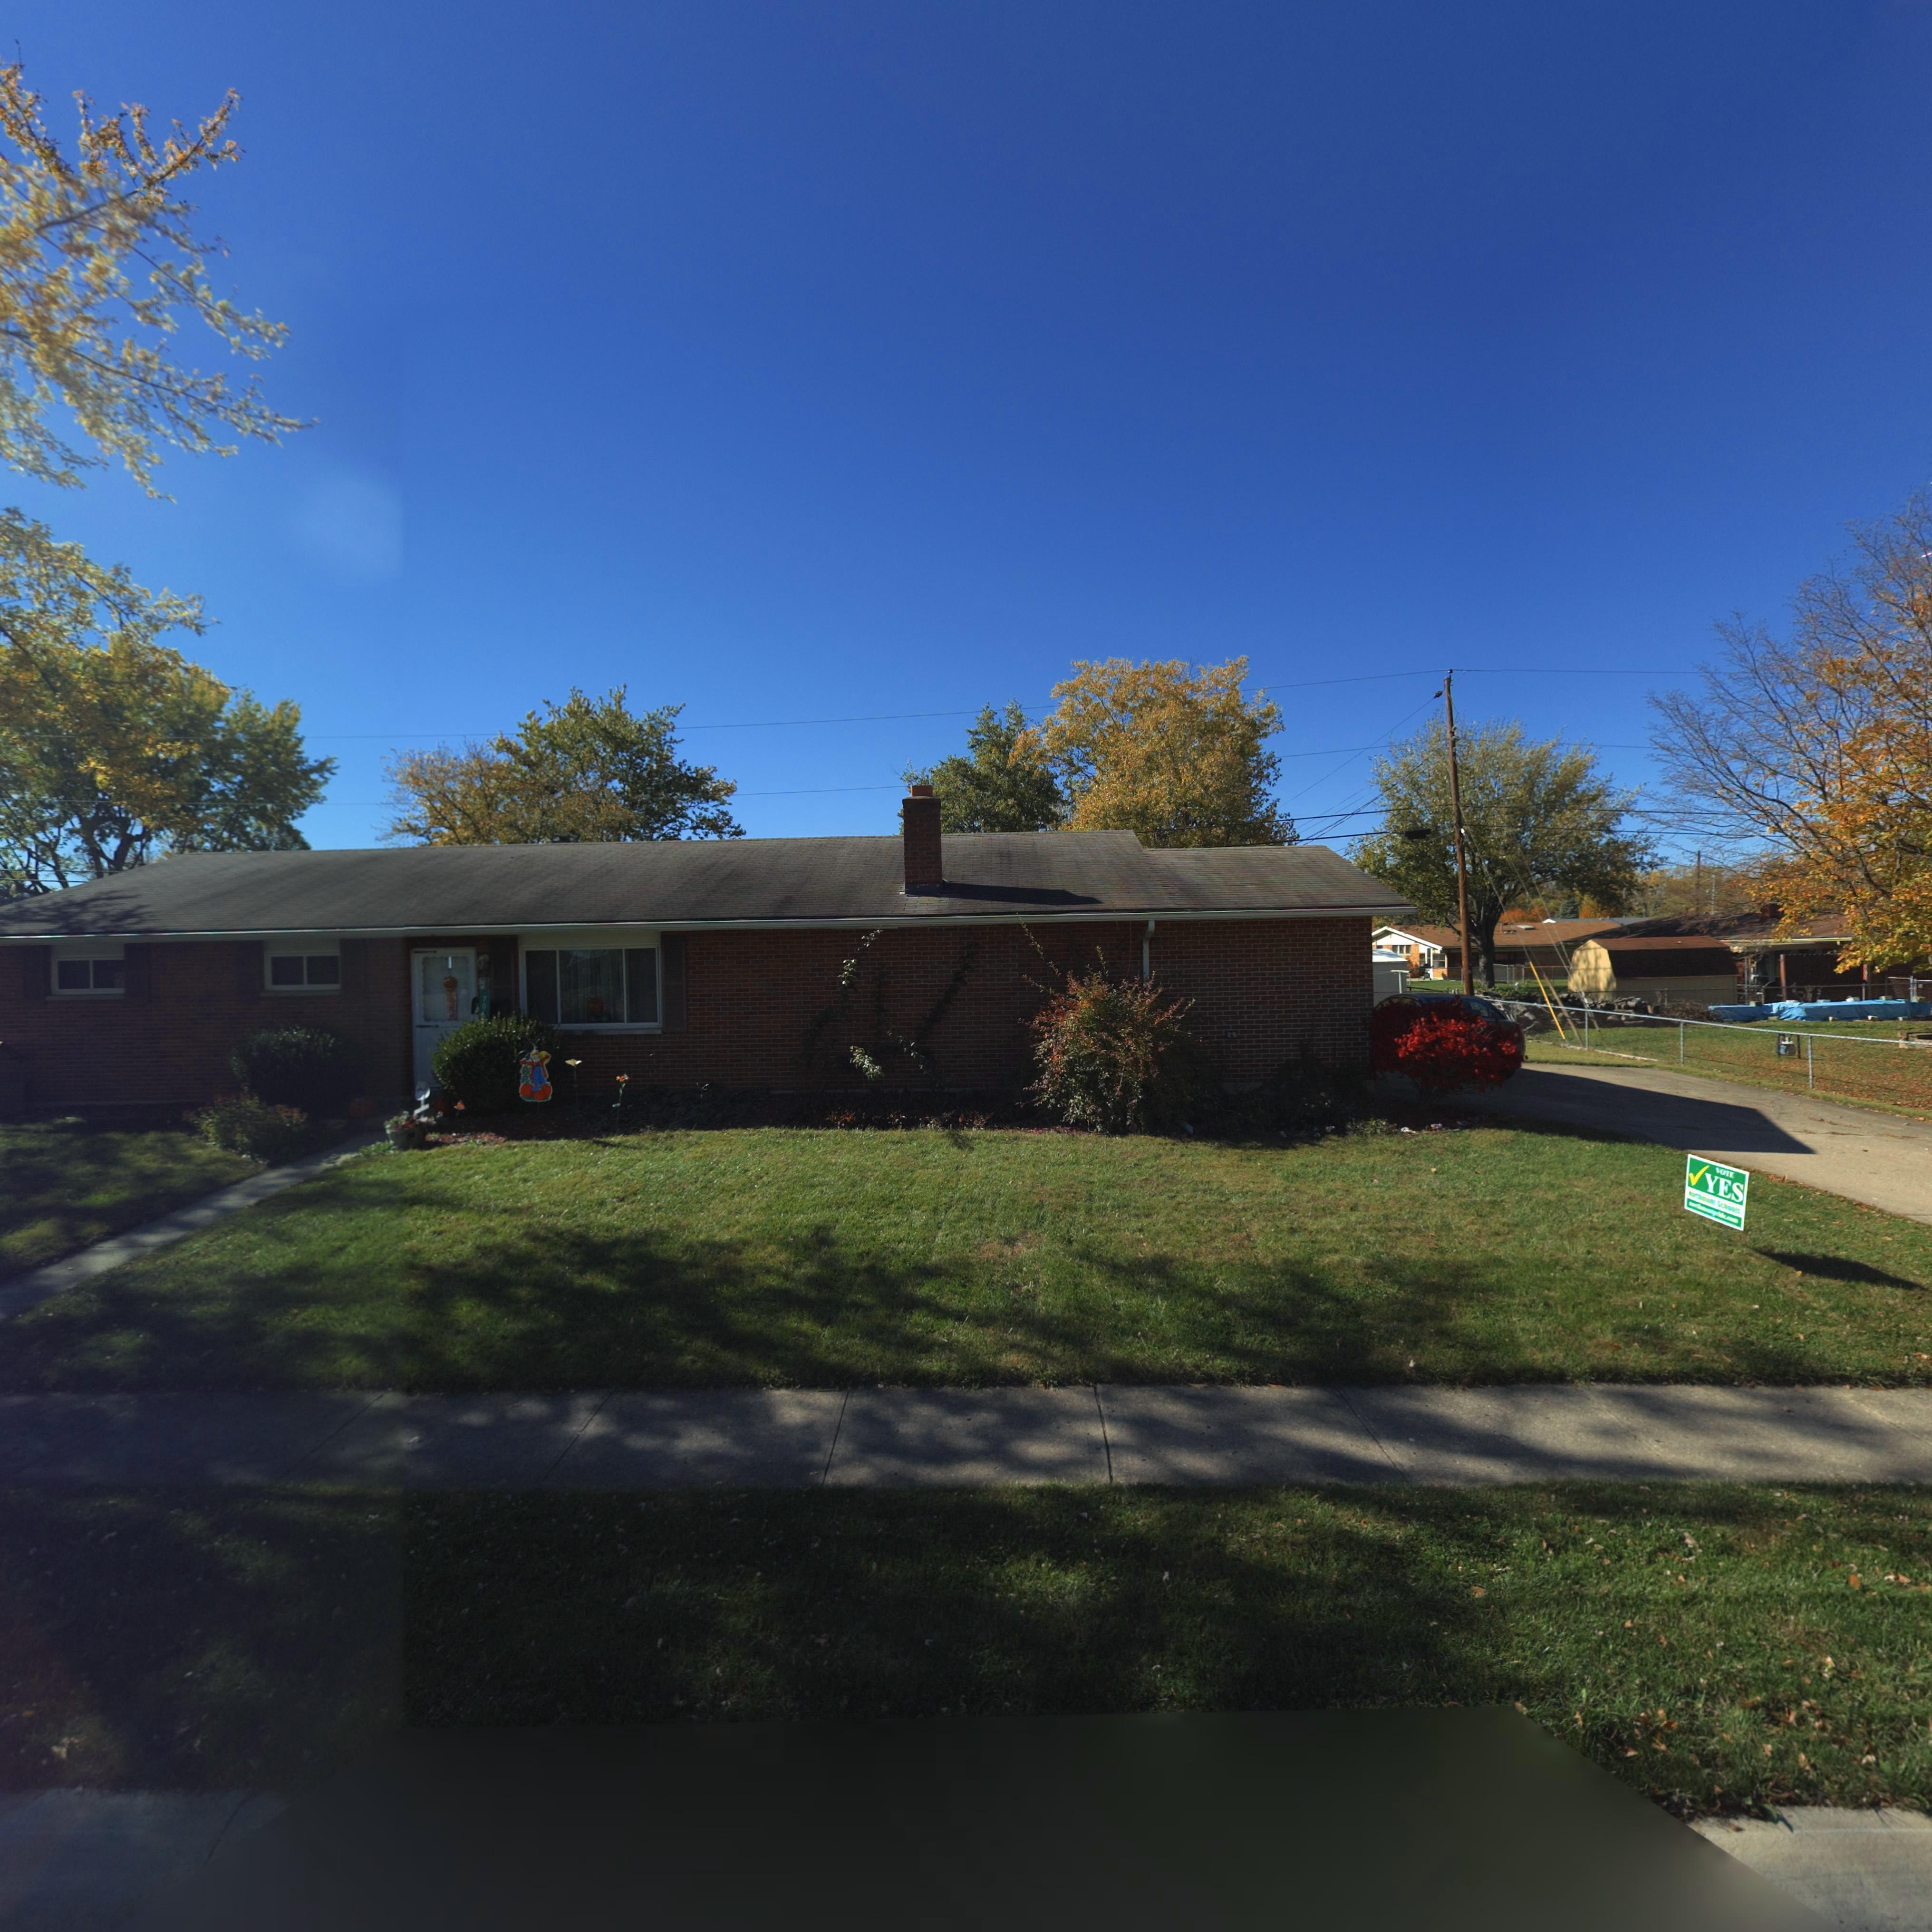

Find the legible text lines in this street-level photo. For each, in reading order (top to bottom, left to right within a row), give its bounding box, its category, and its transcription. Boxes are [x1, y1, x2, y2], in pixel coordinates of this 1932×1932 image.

[481, 994, 488, 1010] StreetNumber: 70